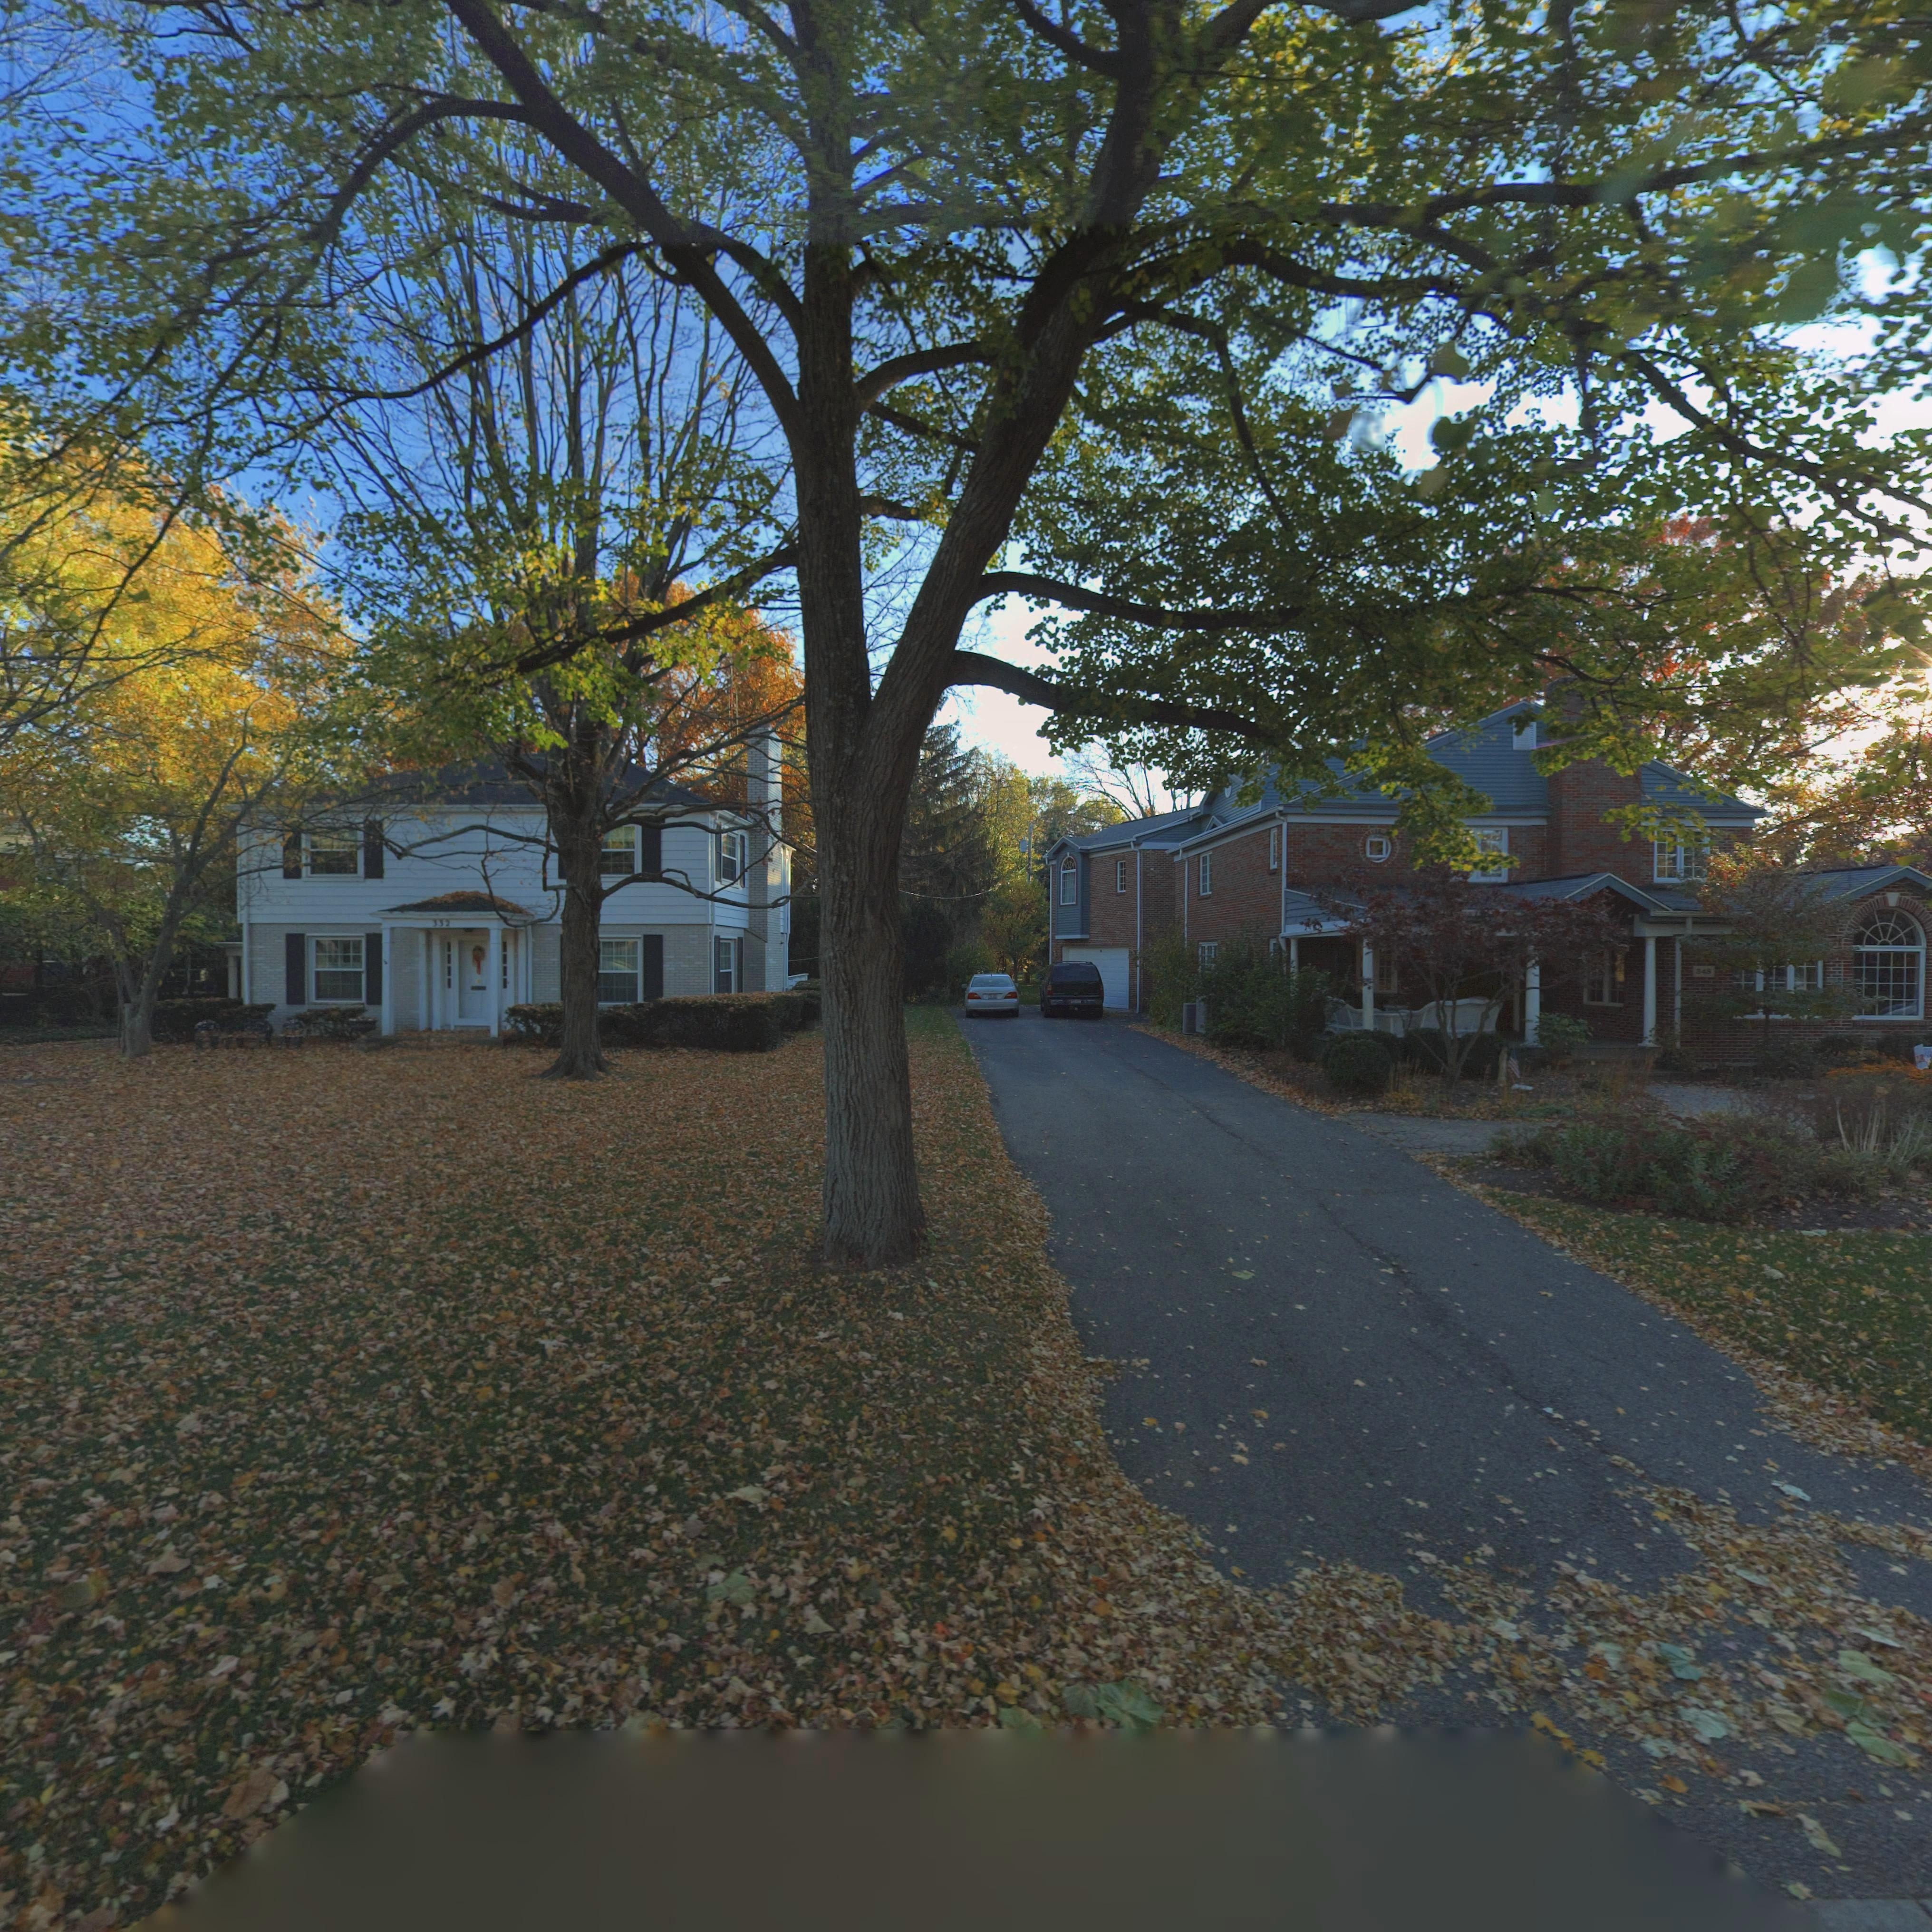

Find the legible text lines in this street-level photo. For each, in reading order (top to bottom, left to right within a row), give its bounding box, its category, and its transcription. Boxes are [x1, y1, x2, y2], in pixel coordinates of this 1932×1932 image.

[432, 918, 450, 927] StreetNumber: **2
[1695, 967, 1712, 975] StreetNumber: 348